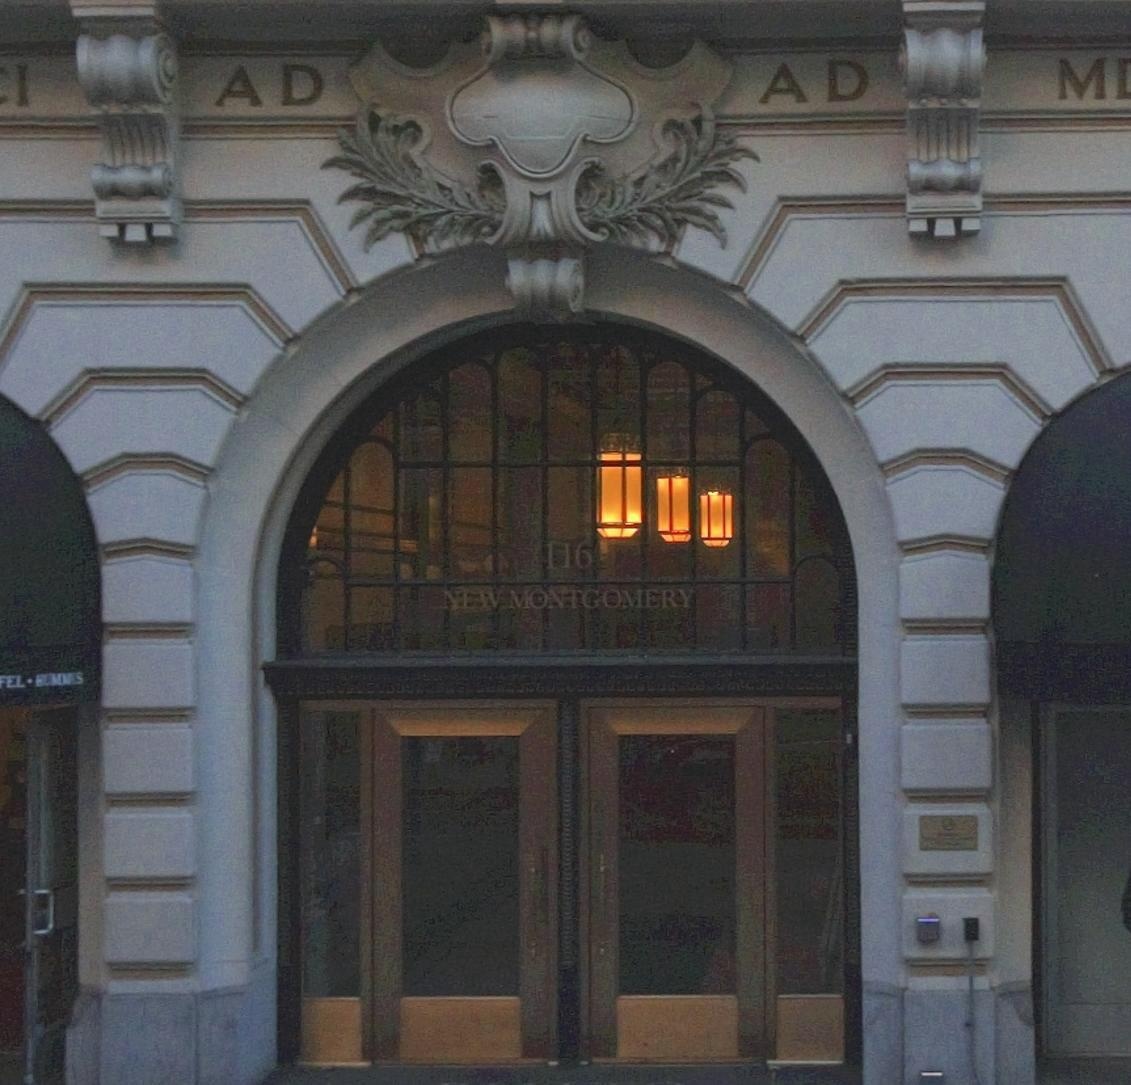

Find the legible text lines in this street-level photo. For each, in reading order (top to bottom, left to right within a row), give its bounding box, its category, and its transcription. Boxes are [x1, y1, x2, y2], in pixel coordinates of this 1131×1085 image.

[209, 61, 332, 109] None: AD
[752, 55, 876, 106] None: AD
[1054, 52, 1107, 104] None: M
[541, 537, 594, 571] StreetNumber: 116
[439, 587, 697, 611] StreetName: NEW MONTGOMERY
[6, 674, 26, 689] None: EL